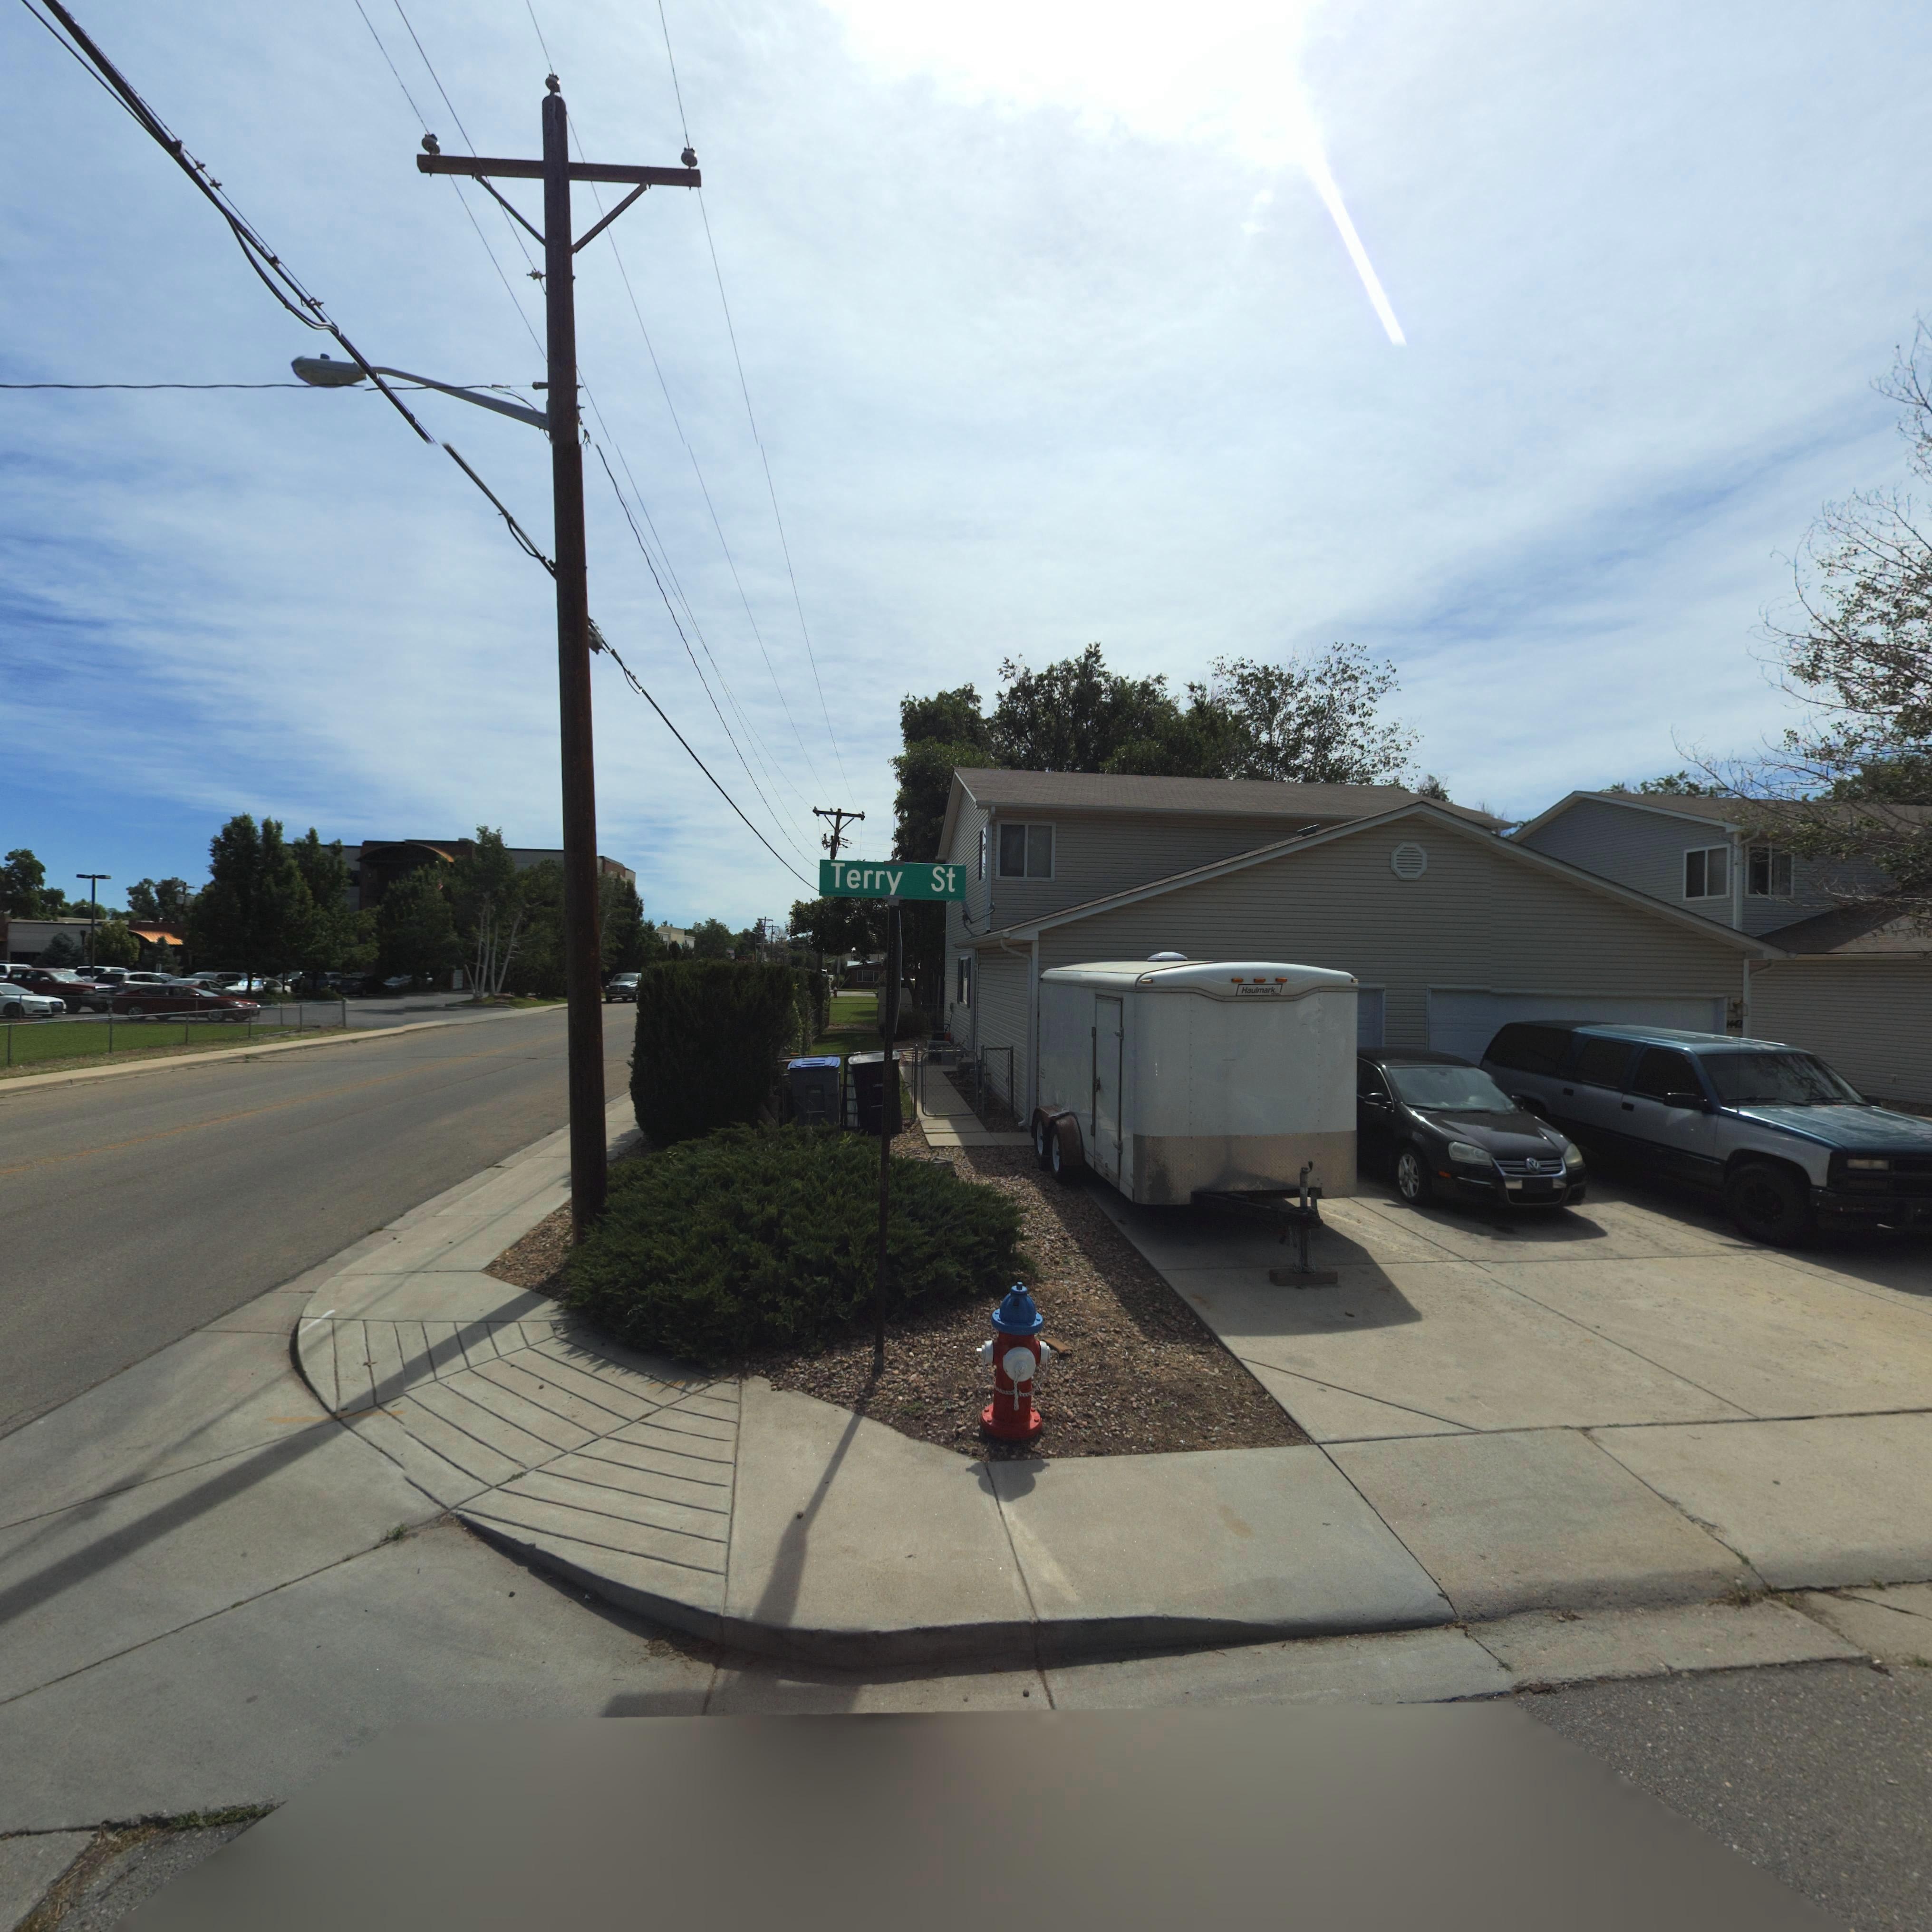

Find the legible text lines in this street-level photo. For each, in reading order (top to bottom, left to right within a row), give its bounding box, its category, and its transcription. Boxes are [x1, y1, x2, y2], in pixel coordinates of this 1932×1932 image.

[830, 862, 956, 895] BusinessName: Terry St